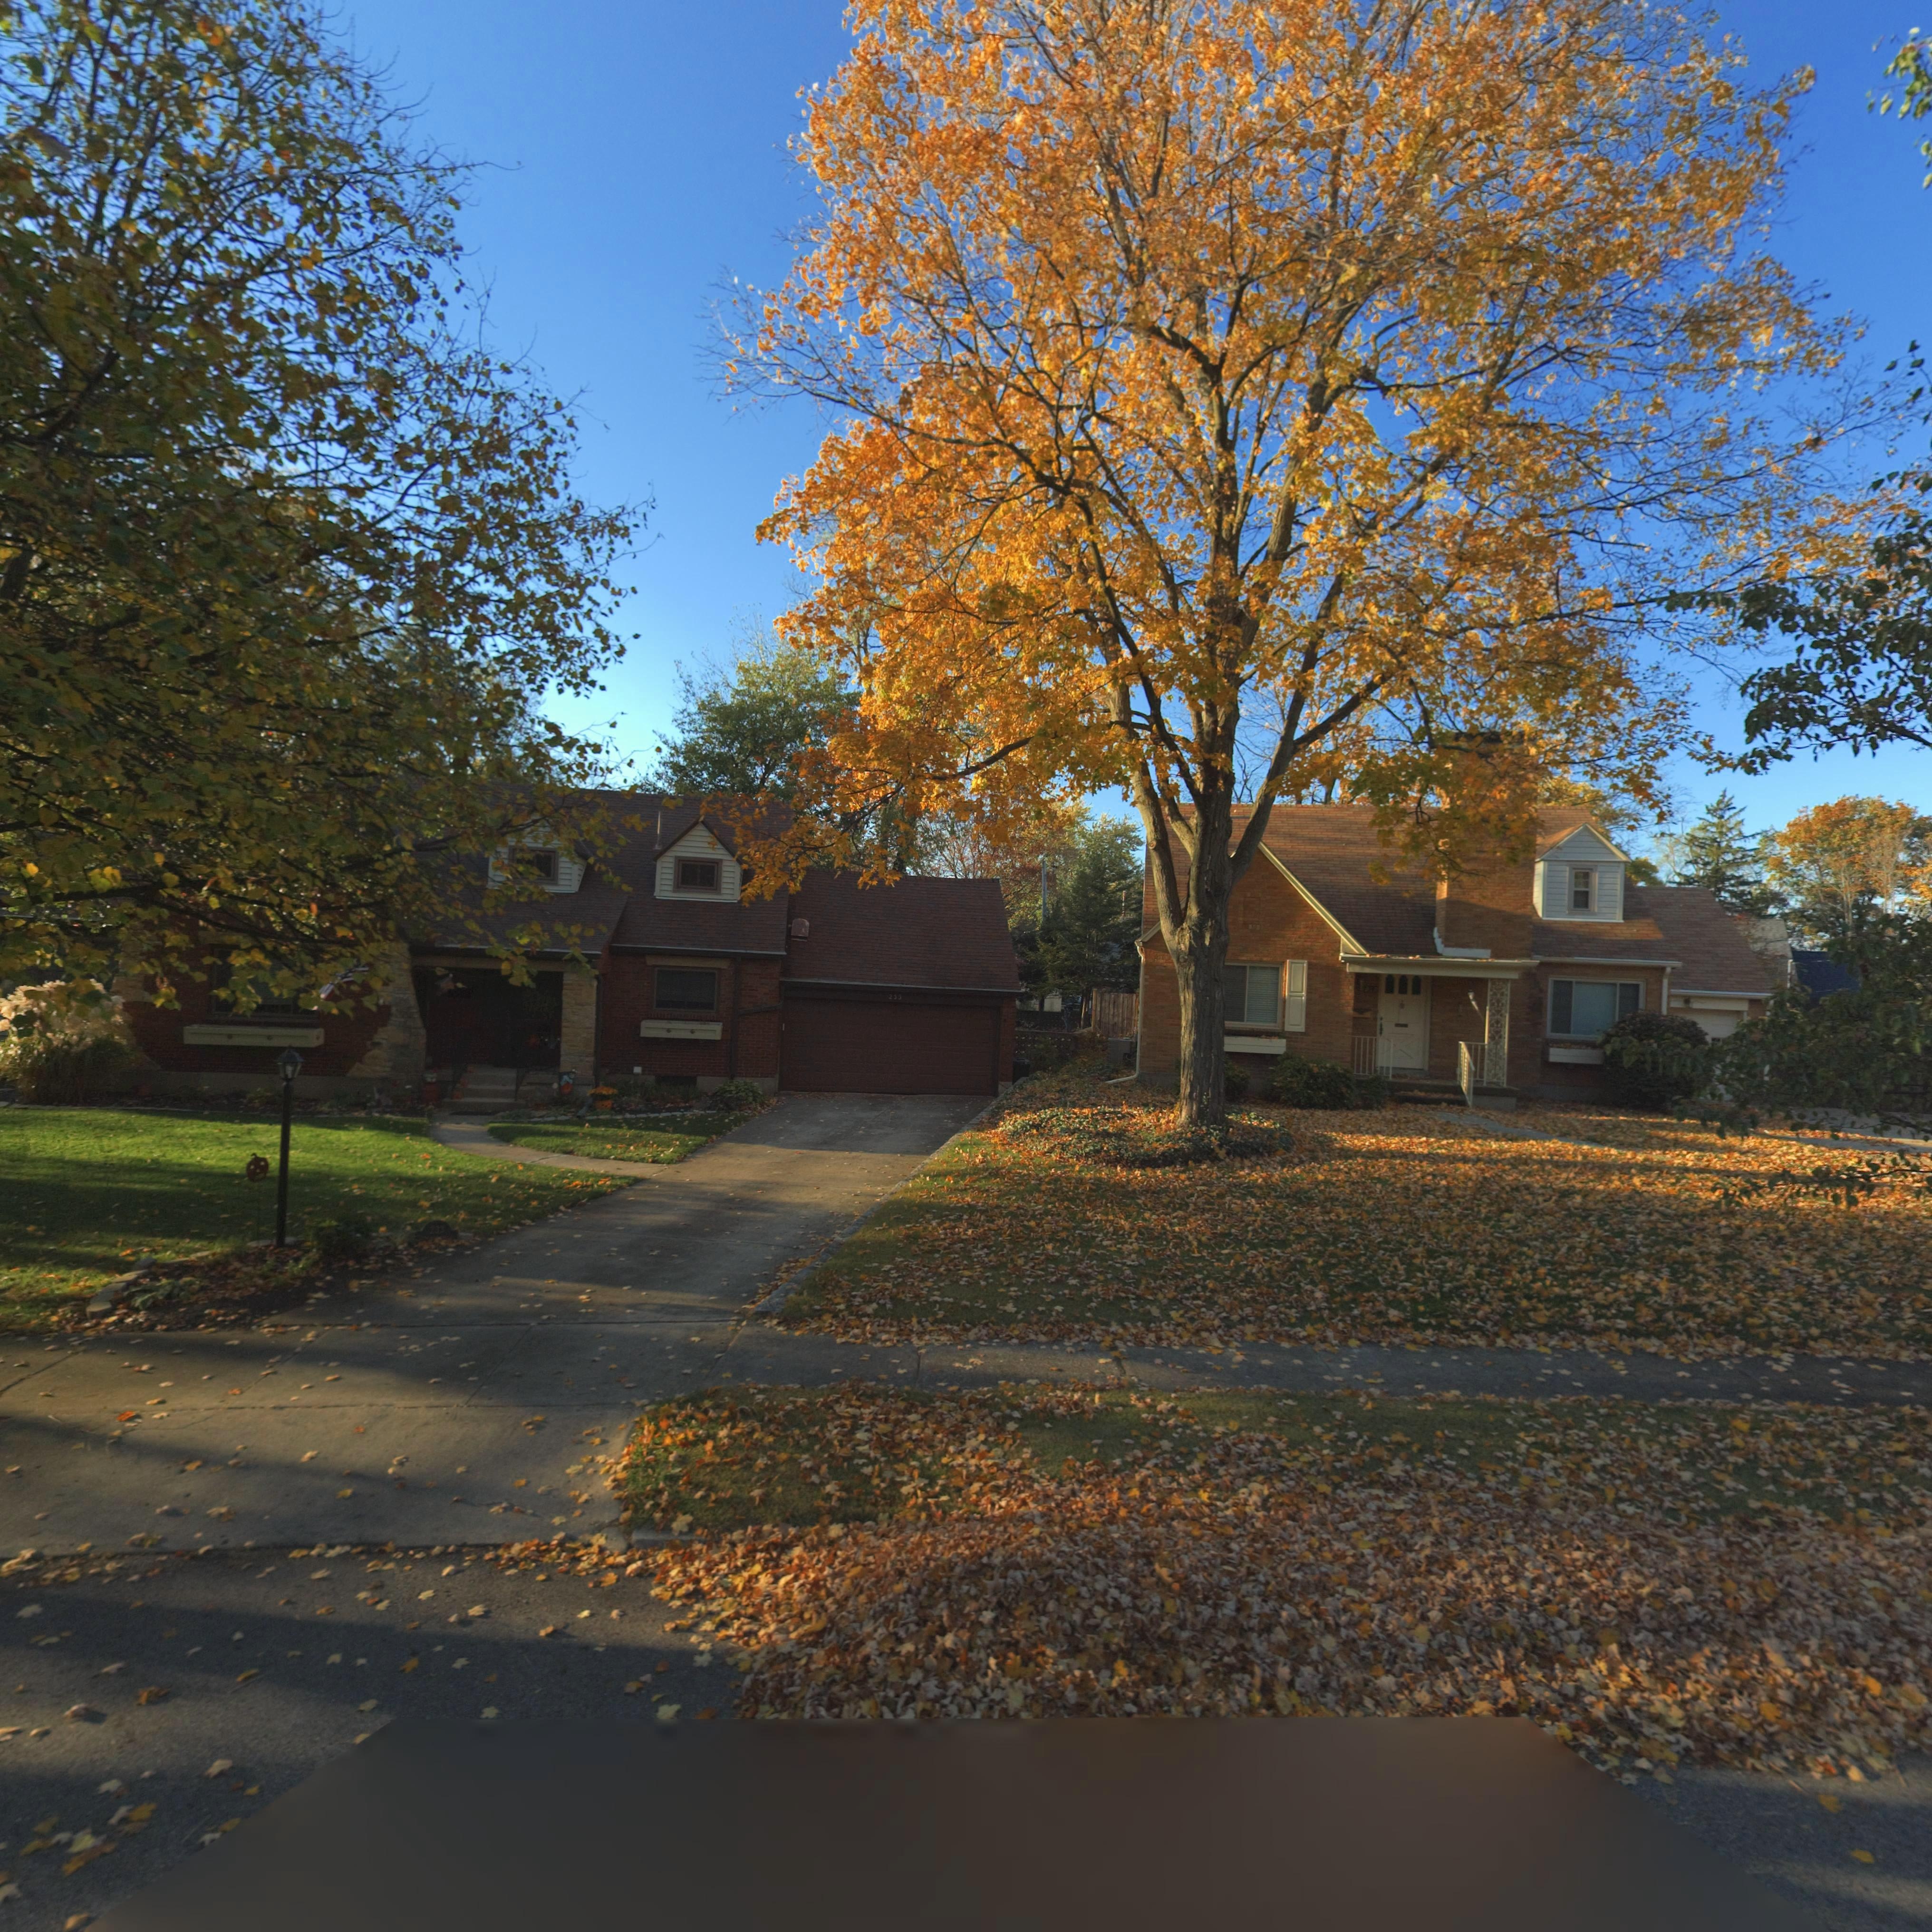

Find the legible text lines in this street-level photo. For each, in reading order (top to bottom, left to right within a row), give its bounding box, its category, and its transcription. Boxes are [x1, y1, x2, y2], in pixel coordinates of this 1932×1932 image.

[888, 993, 902, 1000] StreetNumber: 233